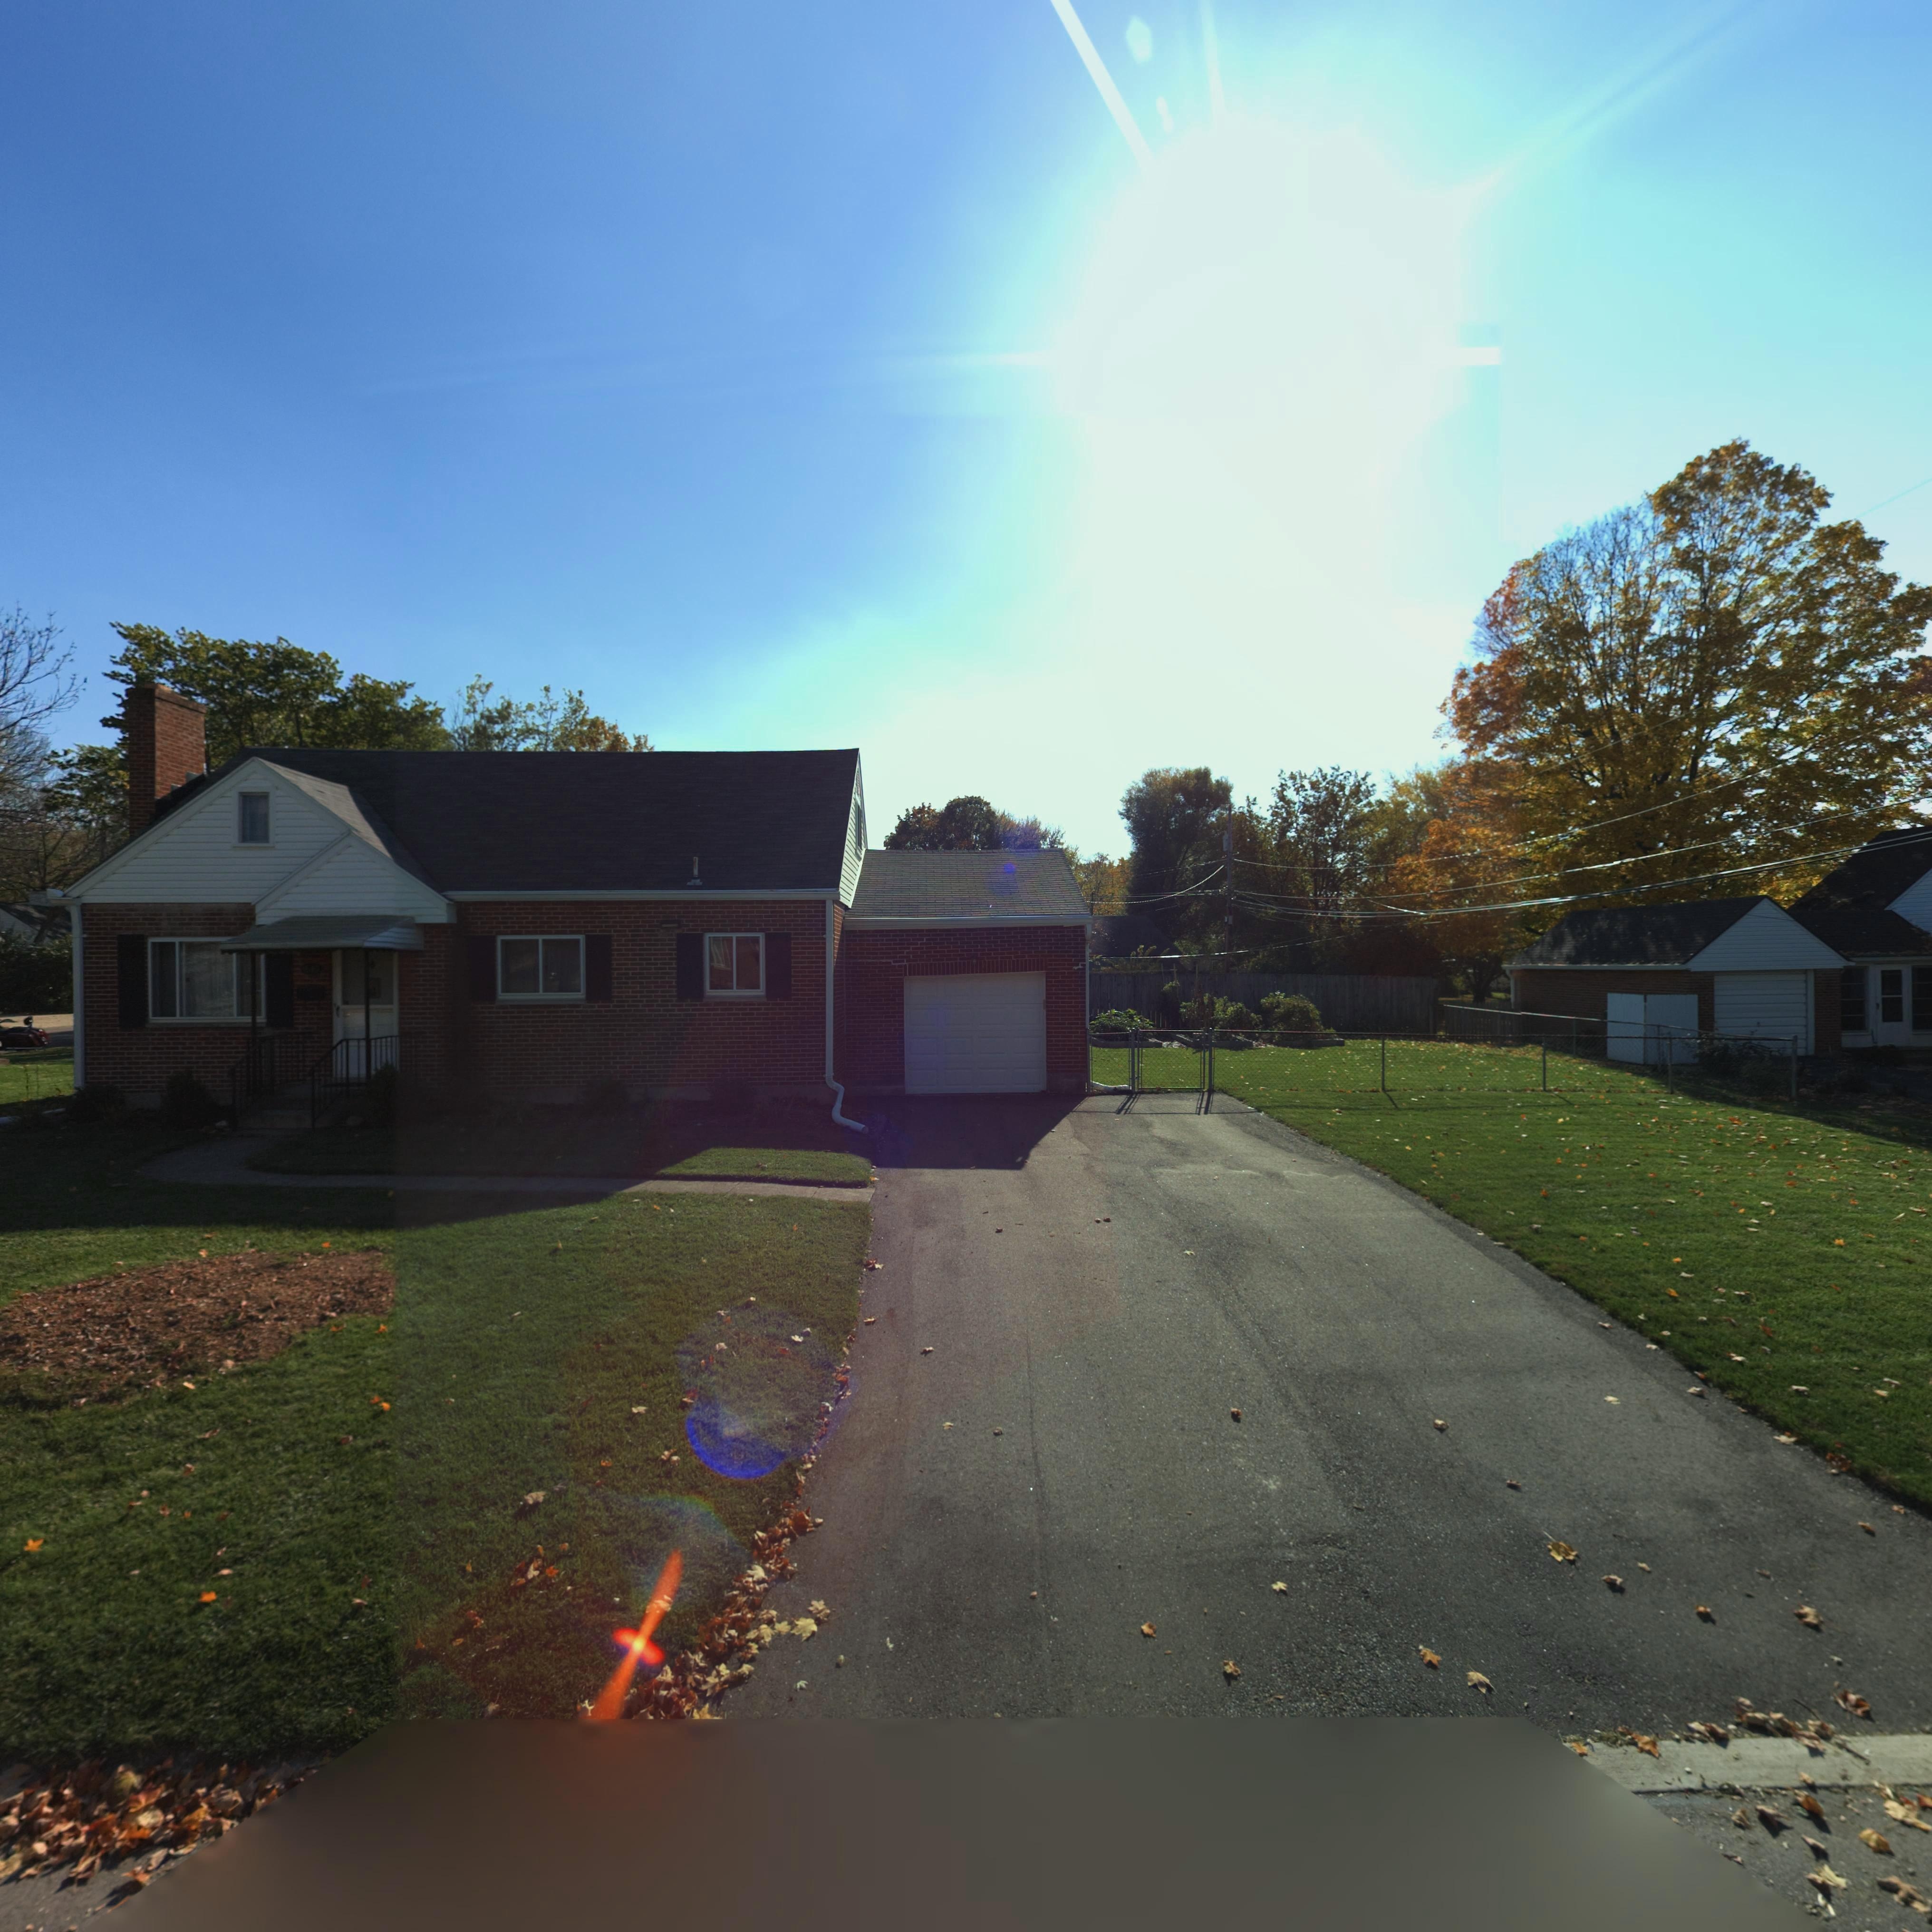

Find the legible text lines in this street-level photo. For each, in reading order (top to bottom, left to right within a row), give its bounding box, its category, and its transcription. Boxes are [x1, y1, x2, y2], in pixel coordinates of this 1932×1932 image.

[300, 965, 320, 974] StreetNumber: **3